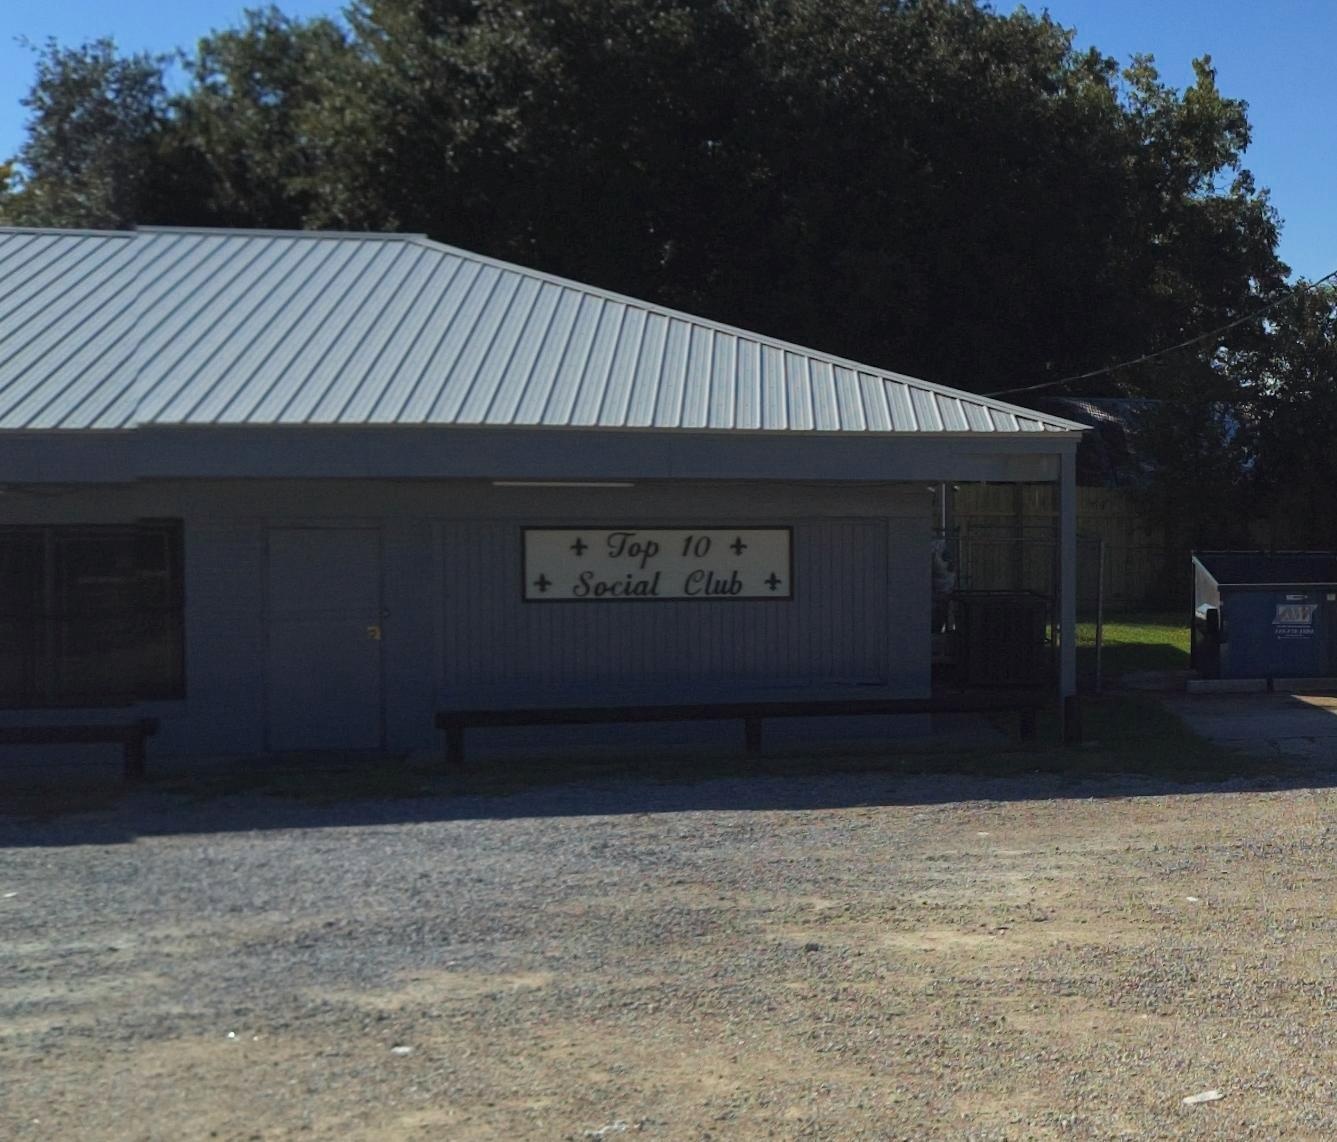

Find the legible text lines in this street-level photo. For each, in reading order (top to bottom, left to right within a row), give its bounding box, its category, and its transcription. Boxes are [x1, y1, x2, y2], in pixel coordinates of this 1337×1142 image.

[605, 529, 713, 571] BusinessName: Top 10
[570, 567, 746, 599] BusinessName: Social Club